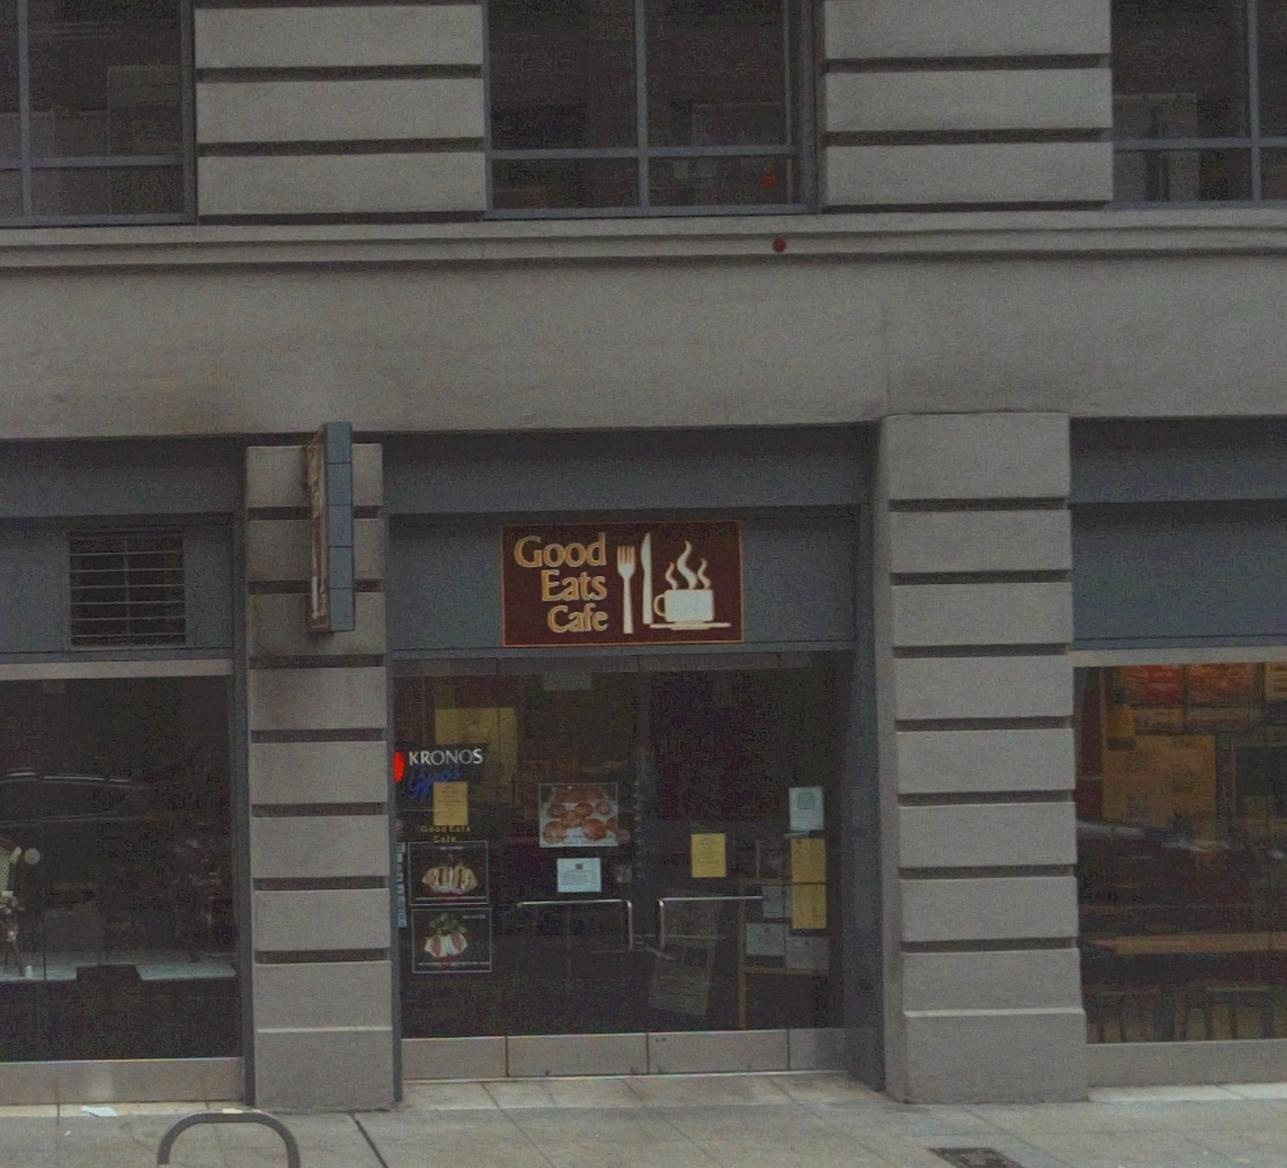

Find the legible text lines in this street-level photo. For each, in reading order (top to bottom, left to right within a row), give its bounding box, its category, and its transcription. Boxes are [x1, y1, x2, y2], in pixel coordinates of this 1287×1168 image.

[509, 528, 609, 571] BusinessName: GOOD
[539, 567, 610, 604] BusinessName: Eats
[544, 600, 611, 636] BusinessName: Cafe
[406, 746, 486, 768] None: KRONOS
[426, 824, 443, 834] None: OO
[431, 834, 458, 845] None: Ca**